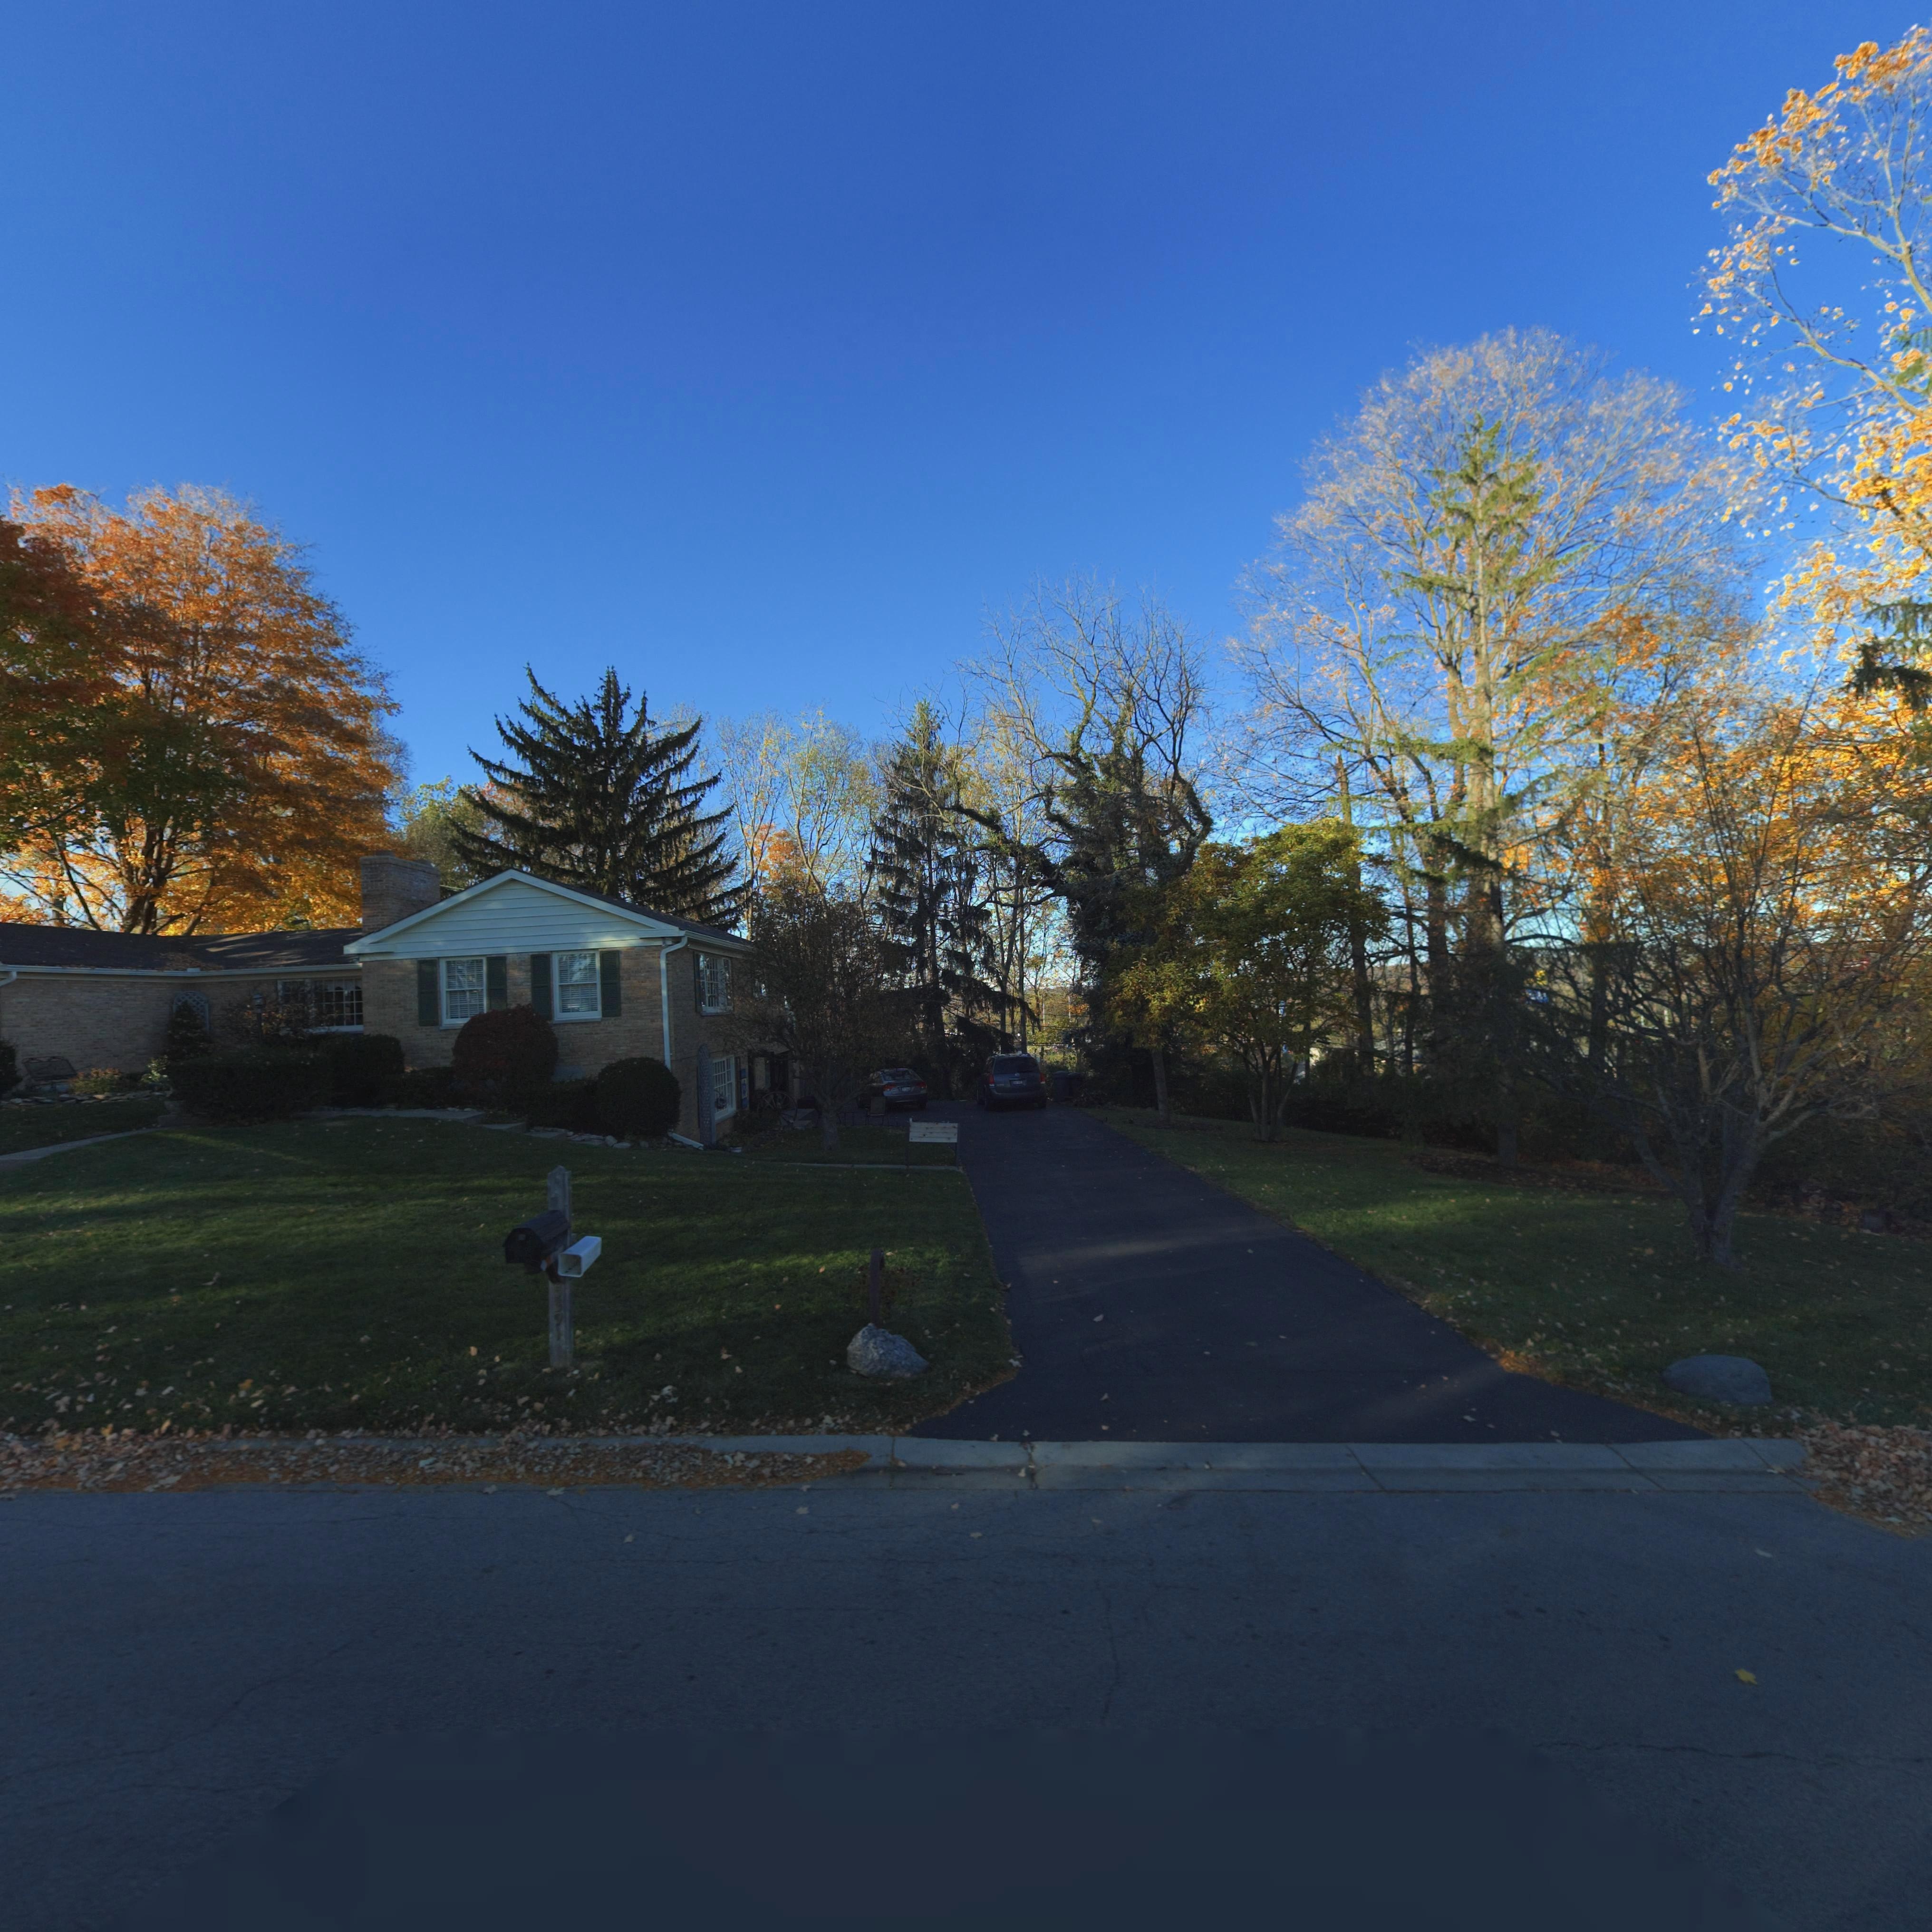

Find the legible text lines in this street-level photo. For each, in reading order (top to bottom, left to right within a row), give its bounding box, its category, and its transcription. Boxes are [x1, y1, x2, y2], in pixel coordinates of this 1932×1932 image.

[552, 1283, 565, 1341] StreetNumber: 5391